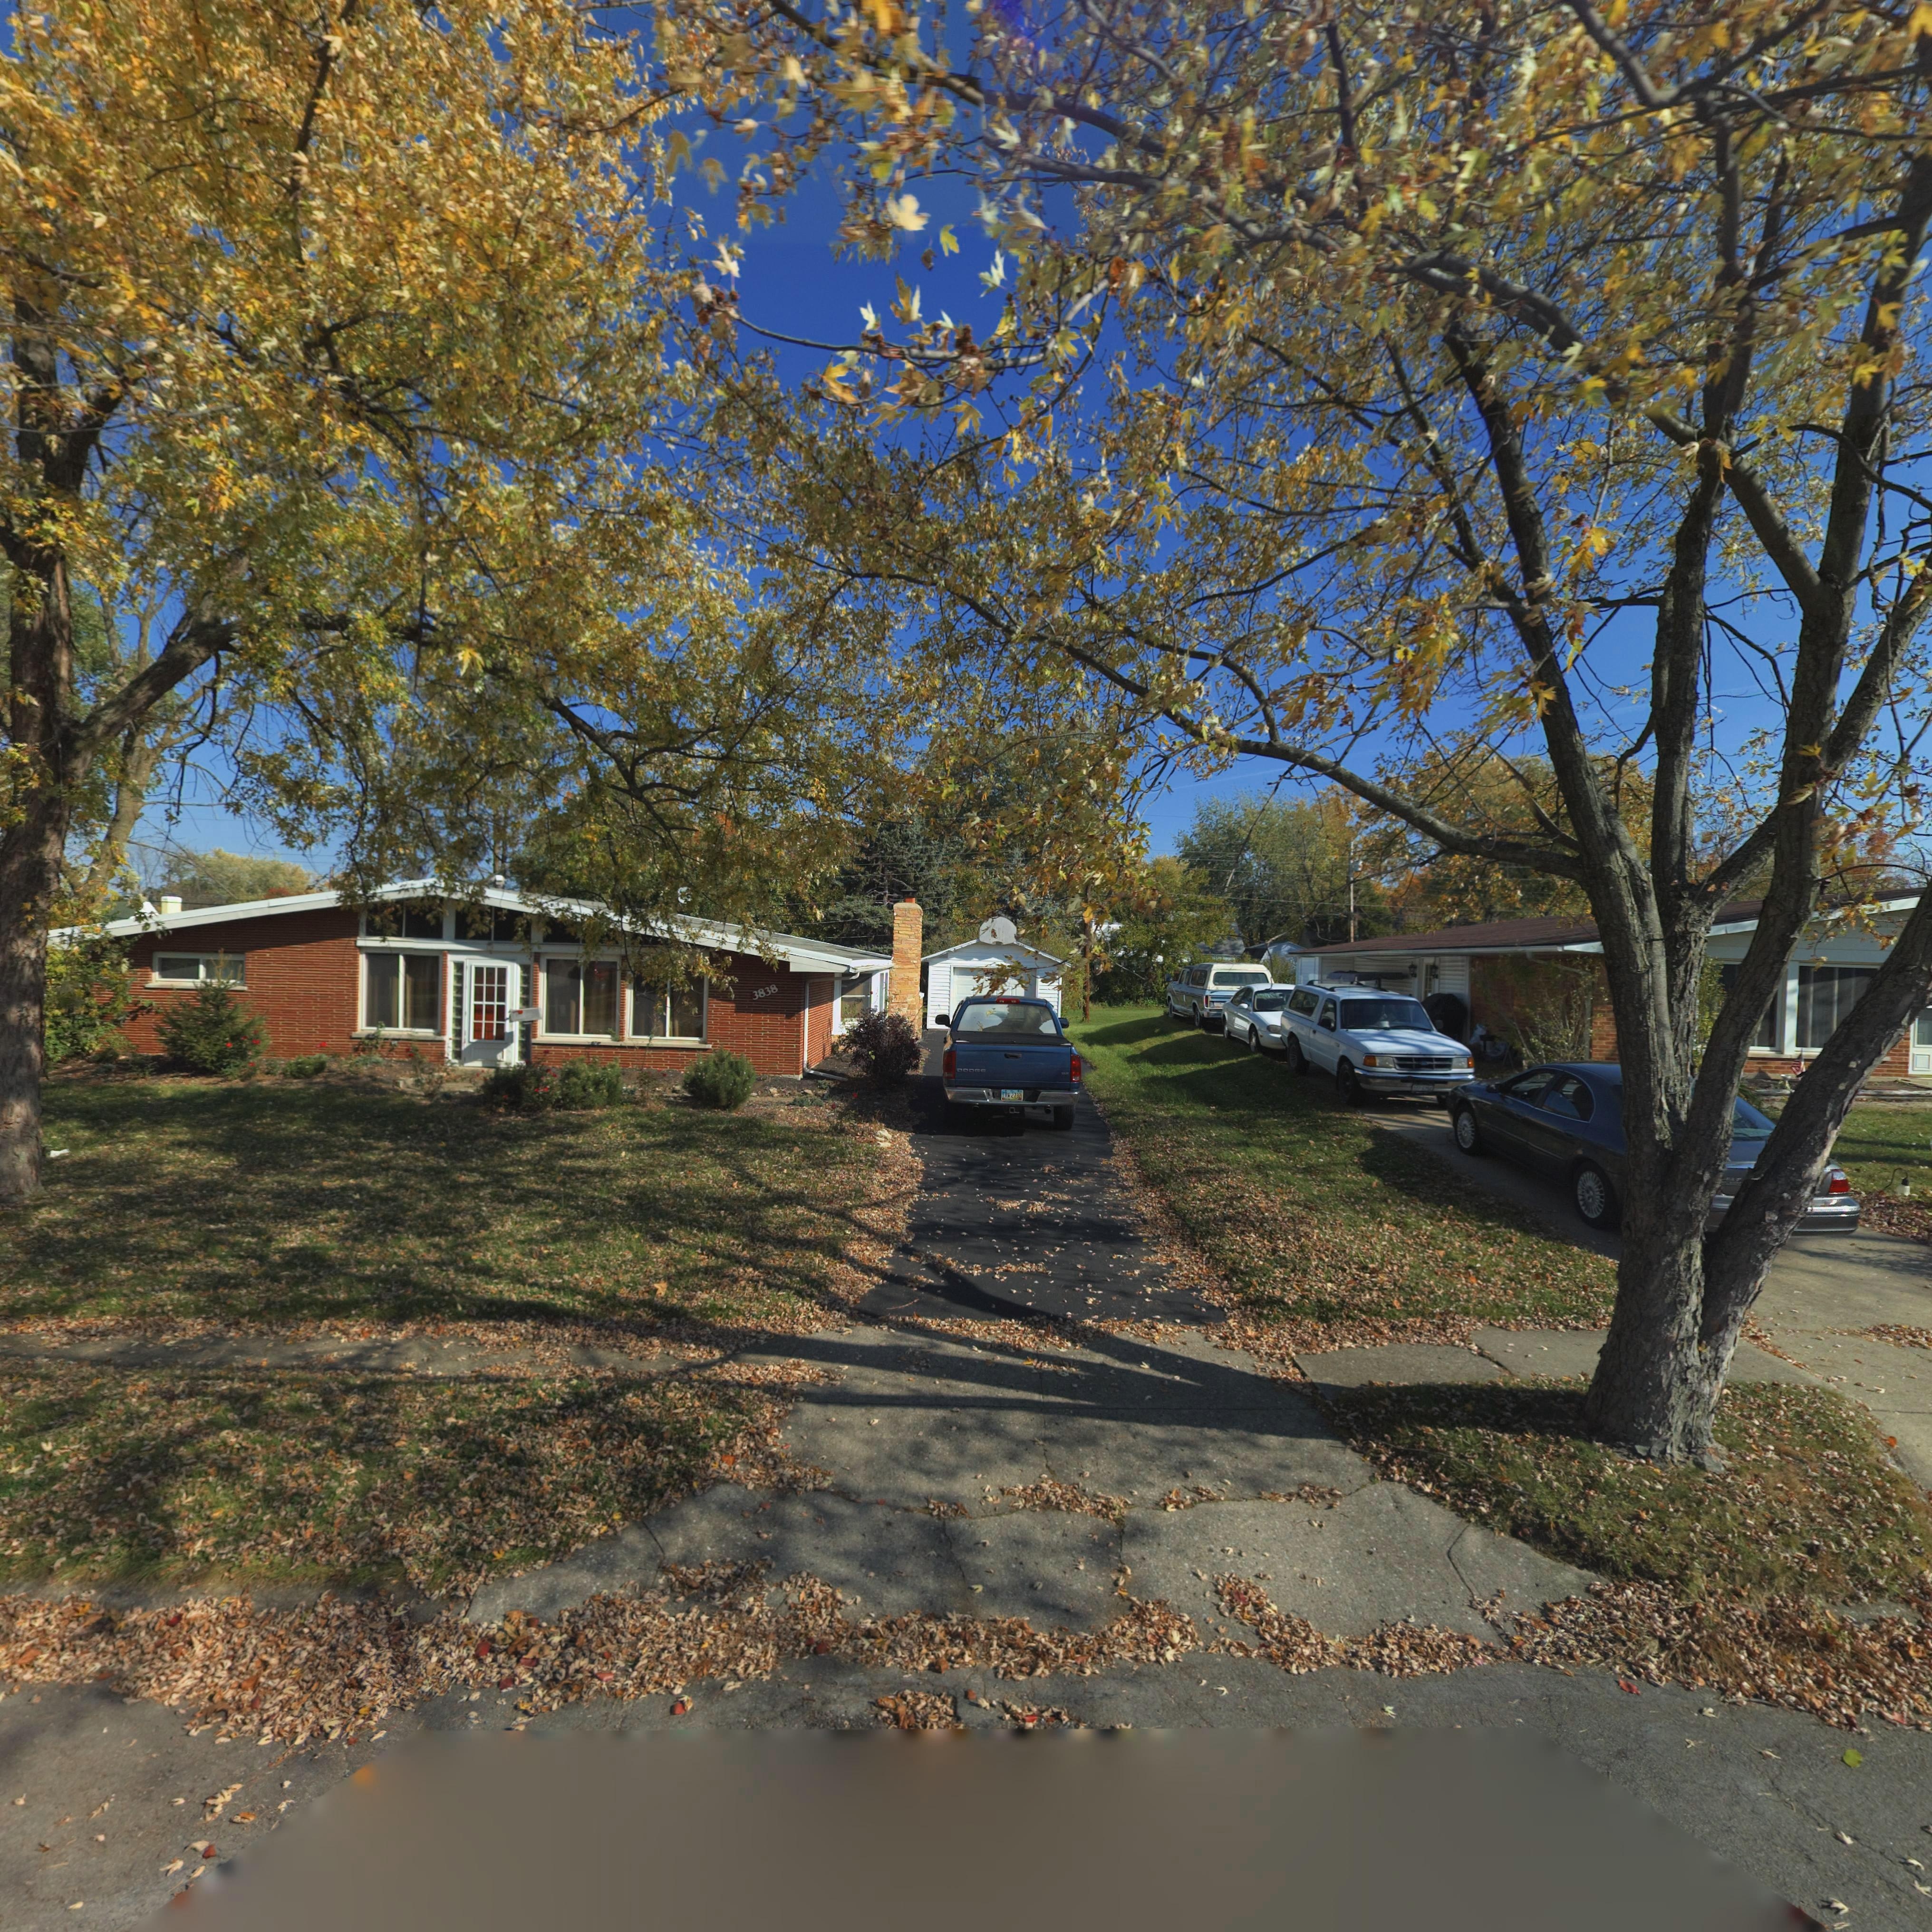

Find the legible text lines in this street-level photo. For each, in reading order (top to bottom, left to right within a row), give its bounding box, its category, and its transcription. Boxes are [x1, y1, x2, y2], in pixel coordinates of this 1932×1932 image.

[752, 983, 779, 1001] StreetNumber: 3838
[956, 1068, 986, 1073] None: DODGE
[1002, 1092, 1021, 1099] None: ERW*2732